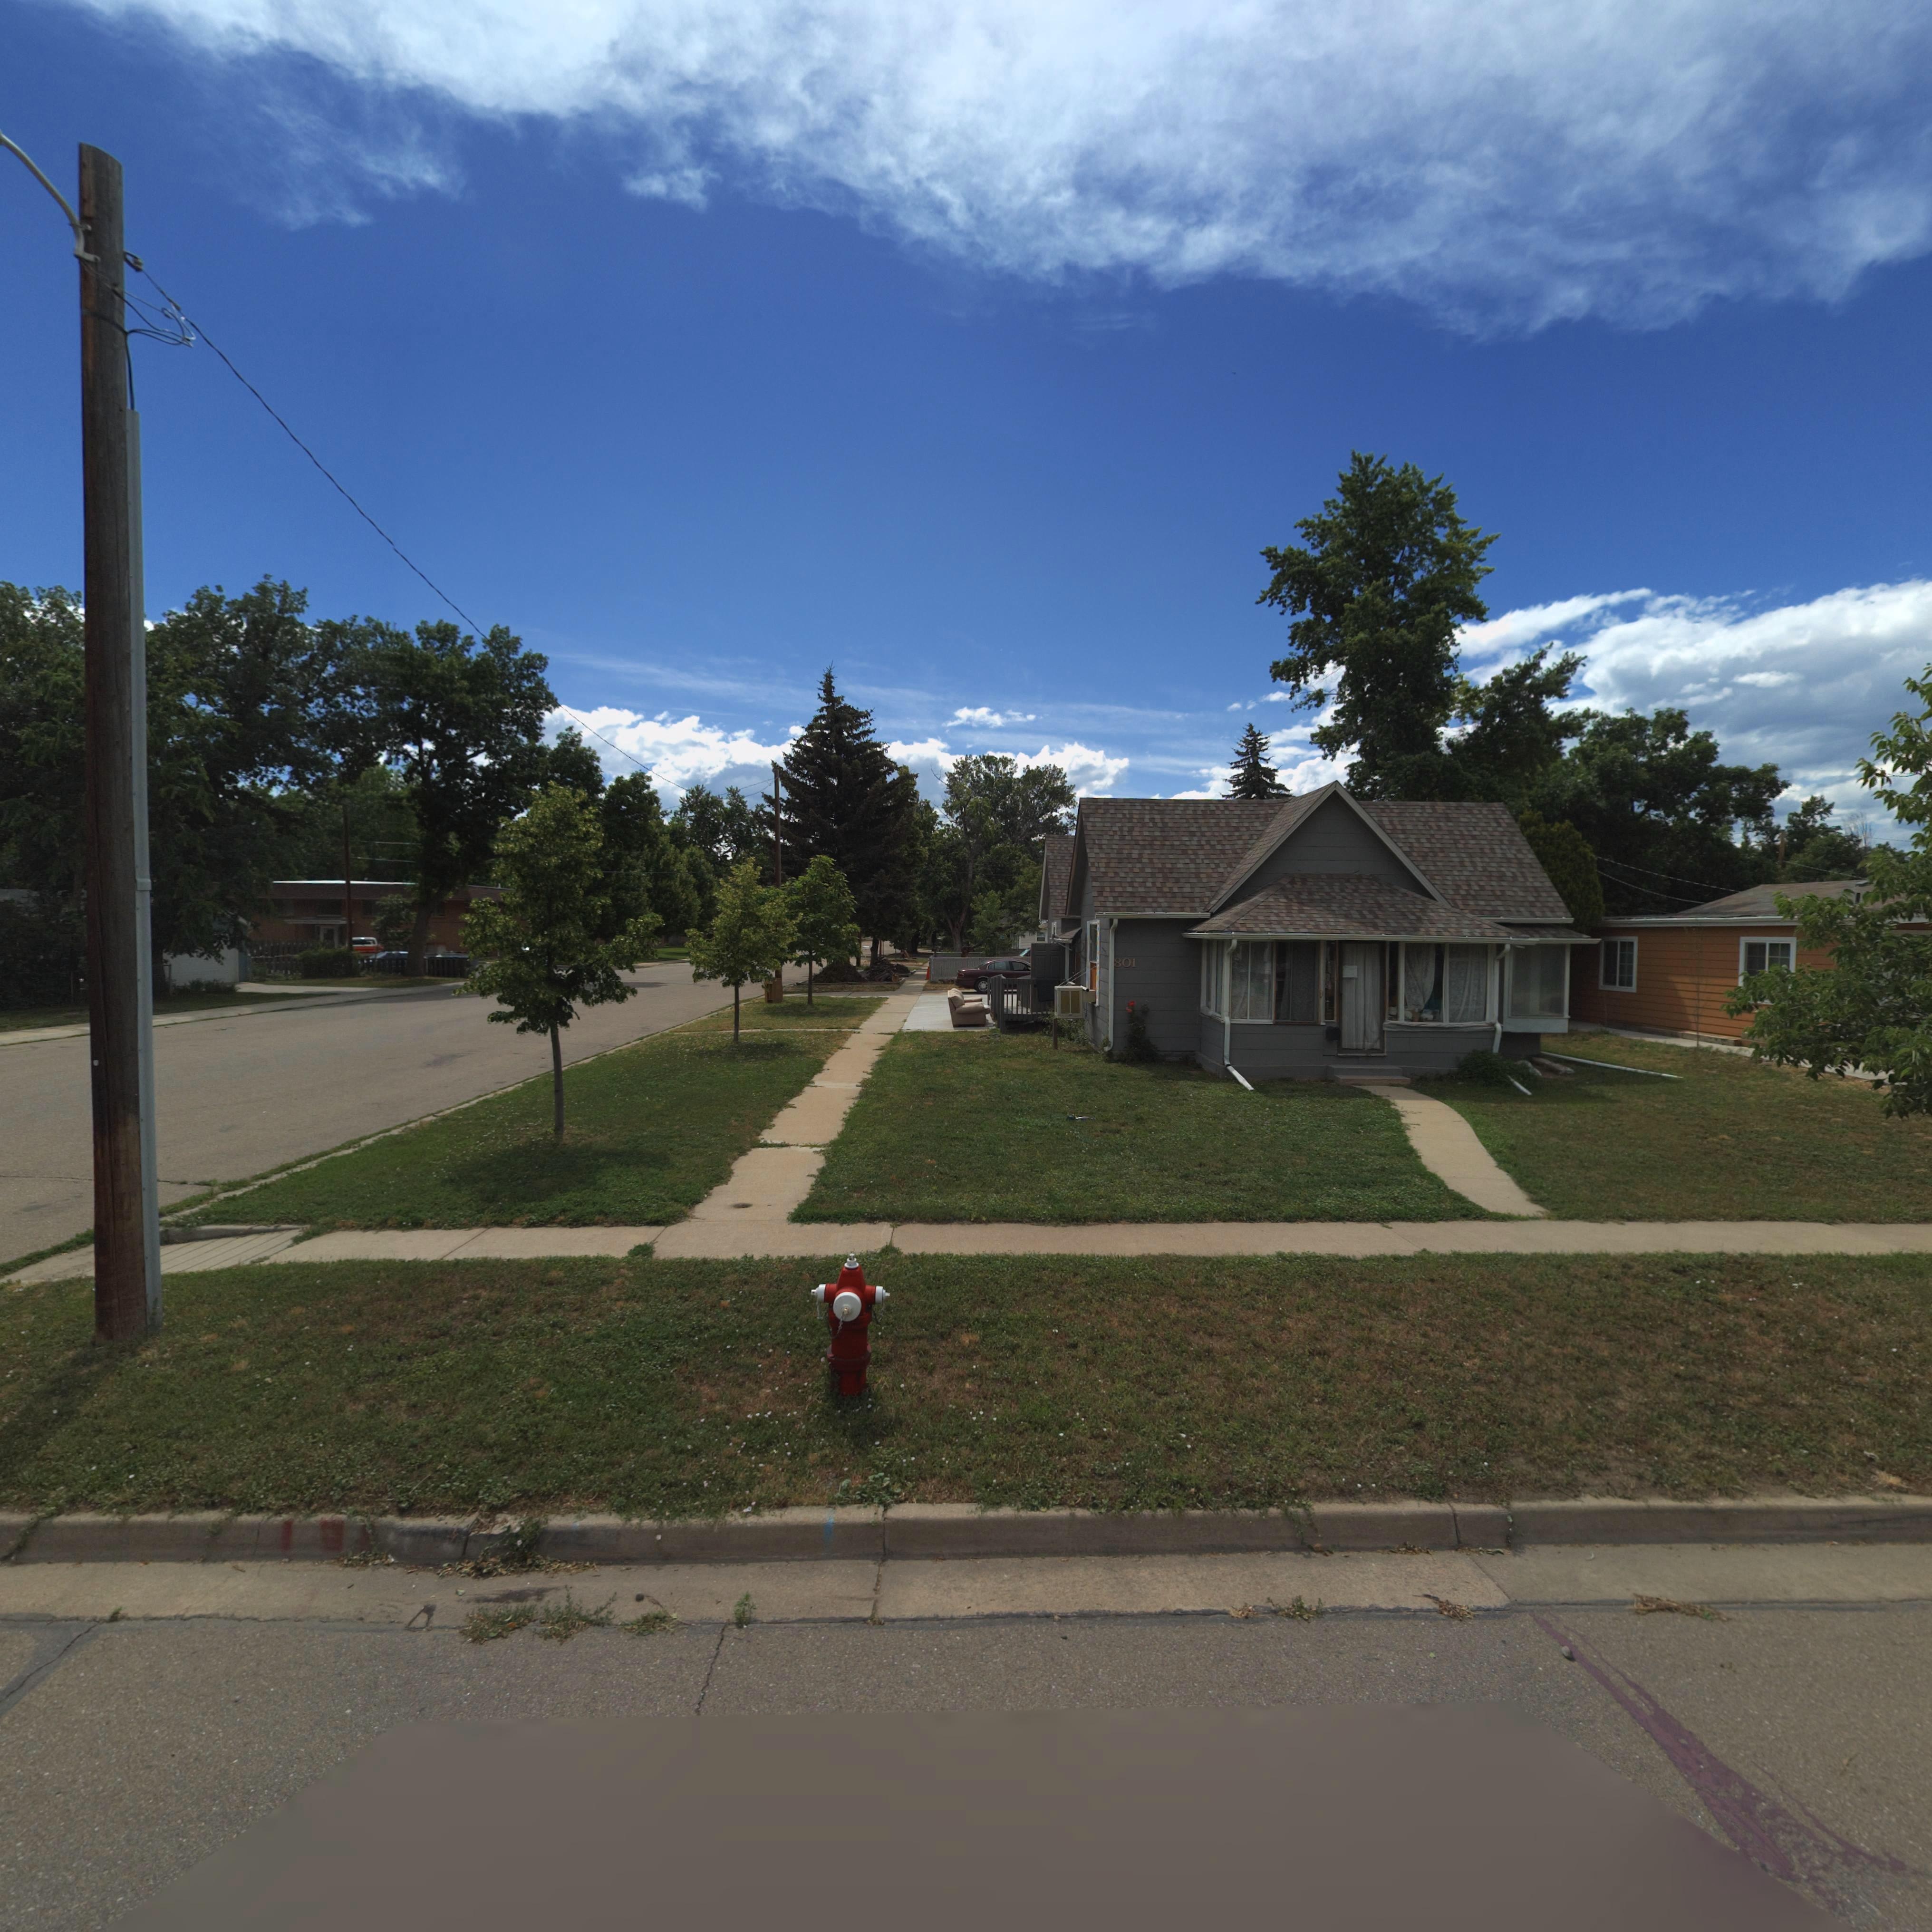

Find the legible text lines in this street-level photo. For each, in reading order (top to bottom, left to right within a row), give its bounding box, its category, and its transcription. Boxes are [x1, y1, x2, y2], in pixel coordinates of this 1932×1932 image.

[1114, 958, 1137, 968] StreetNumber: 801